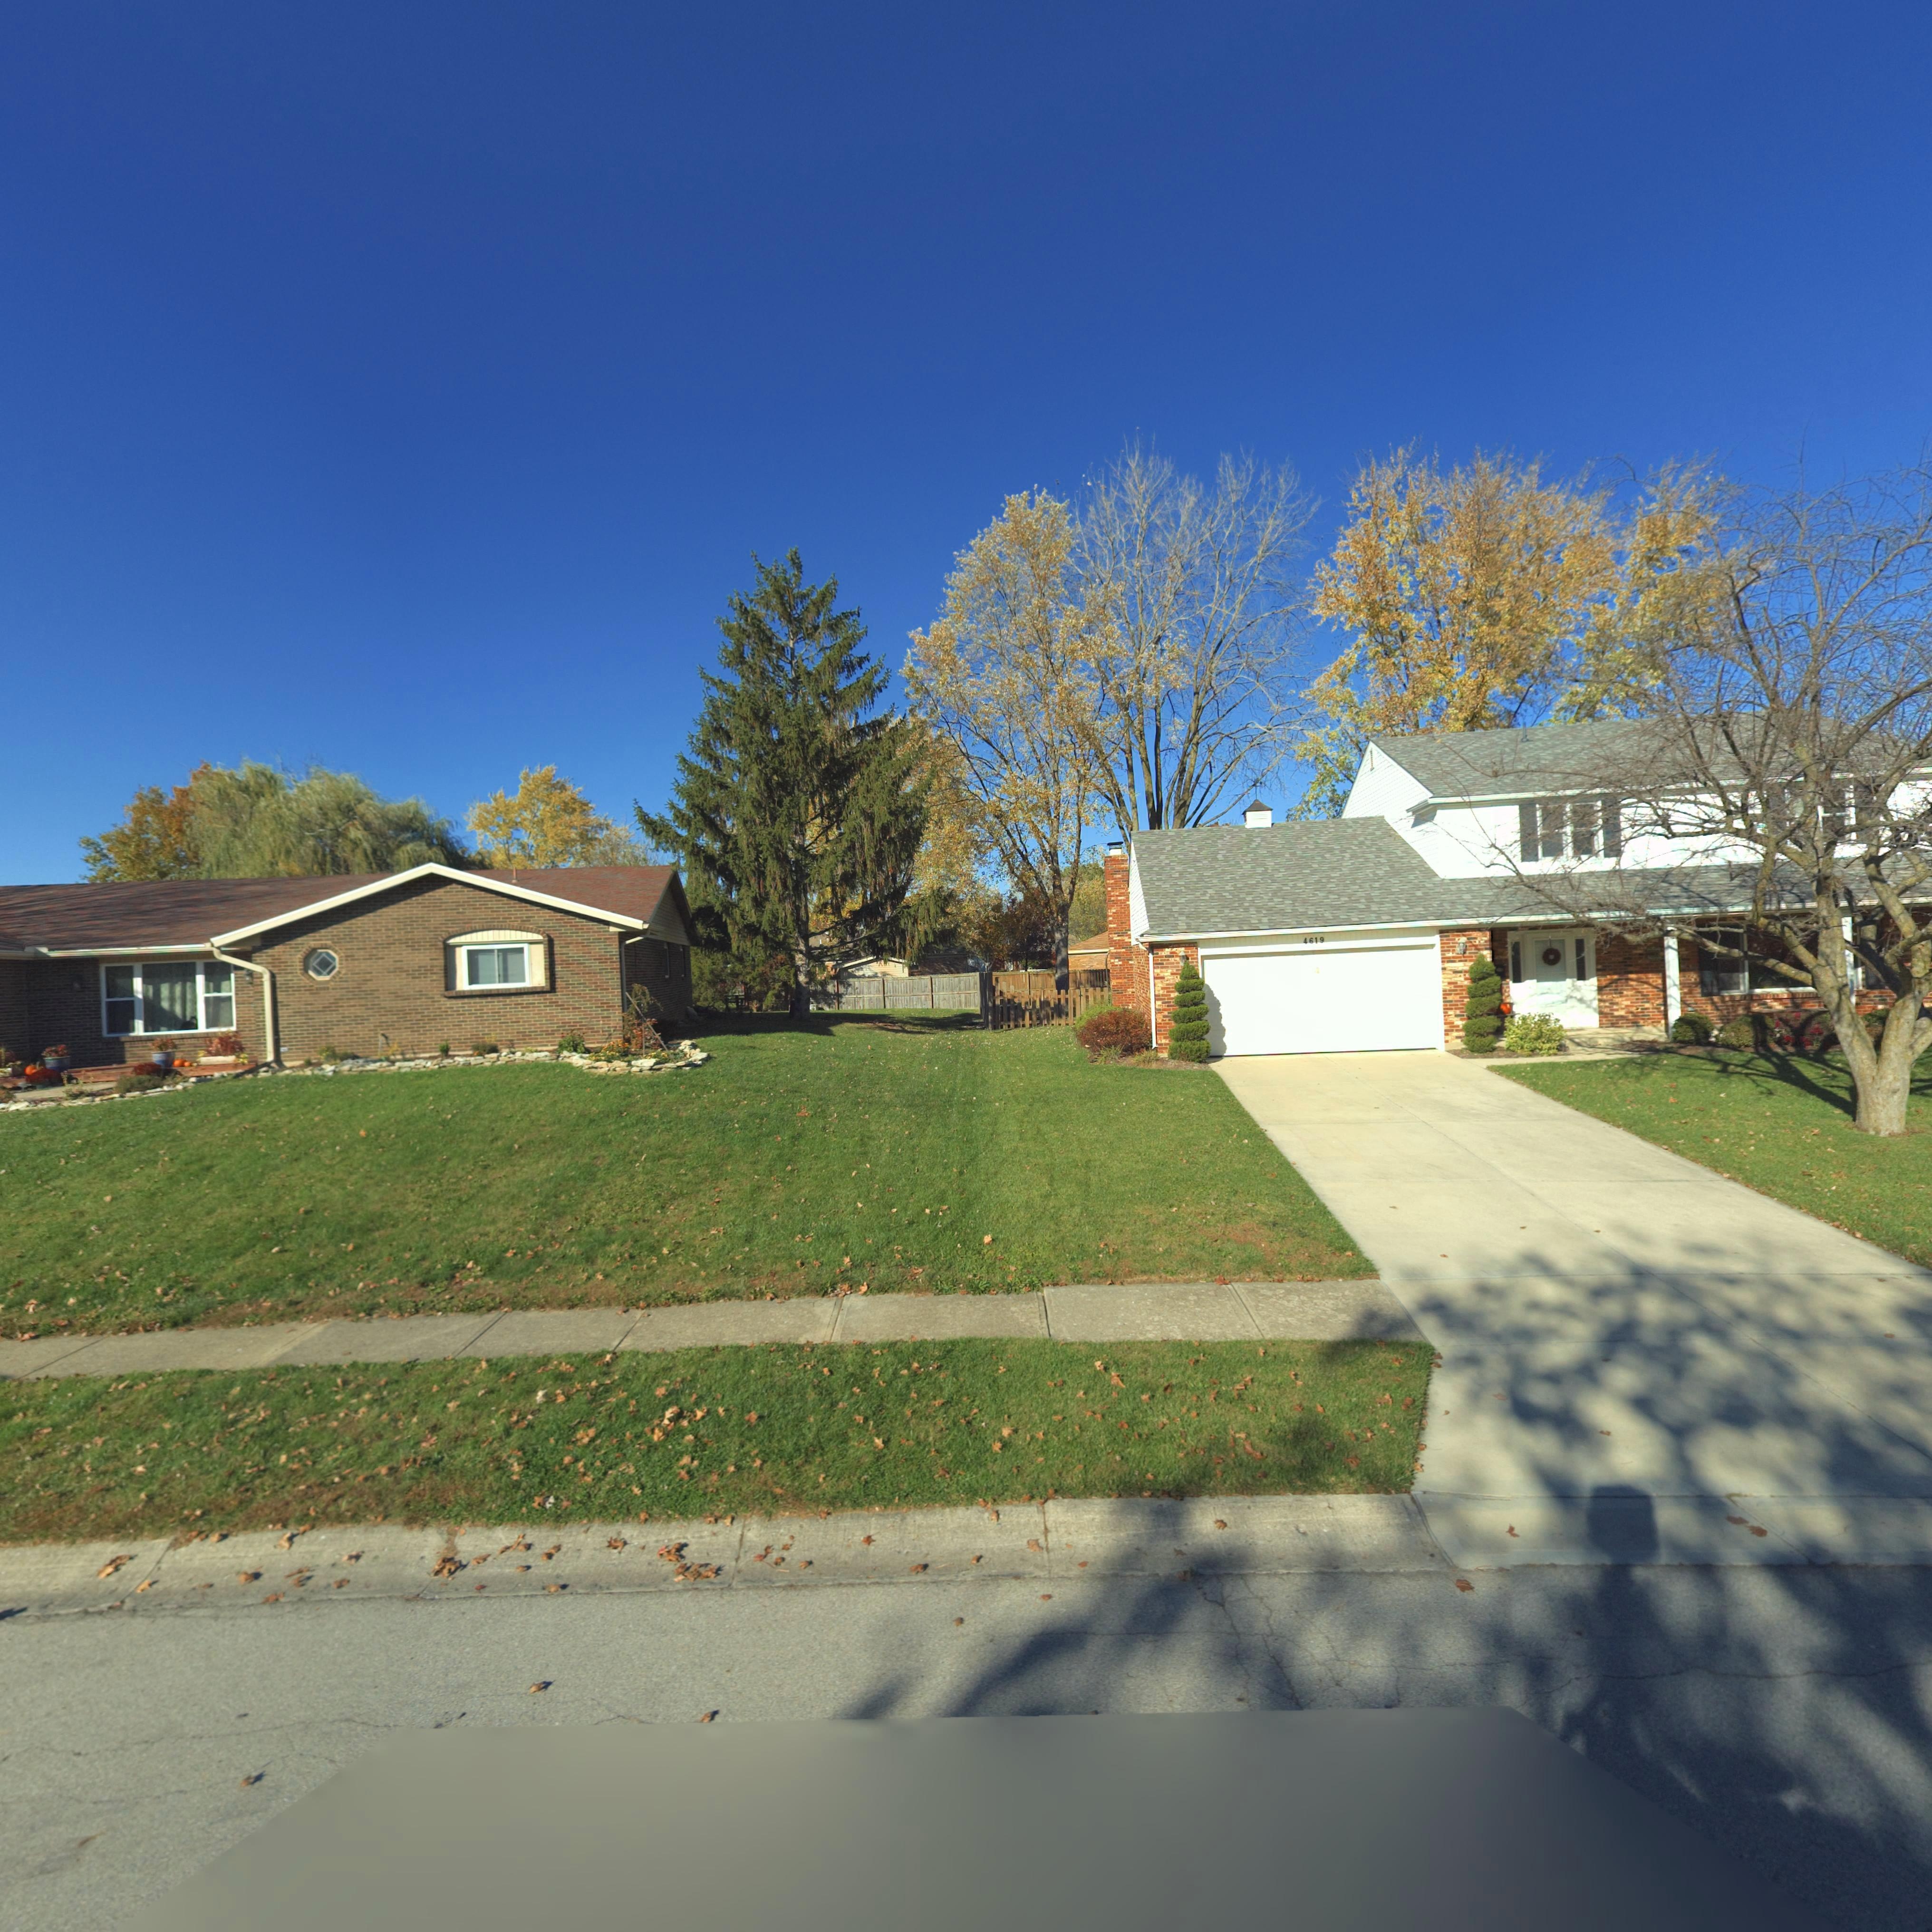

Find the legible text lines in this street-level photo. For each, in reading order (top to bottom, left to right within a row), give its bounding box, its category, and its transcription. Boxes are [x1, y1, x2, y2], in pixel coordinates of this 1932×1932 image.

[1303, 936, 1325, 945] StreetNumber: 4619